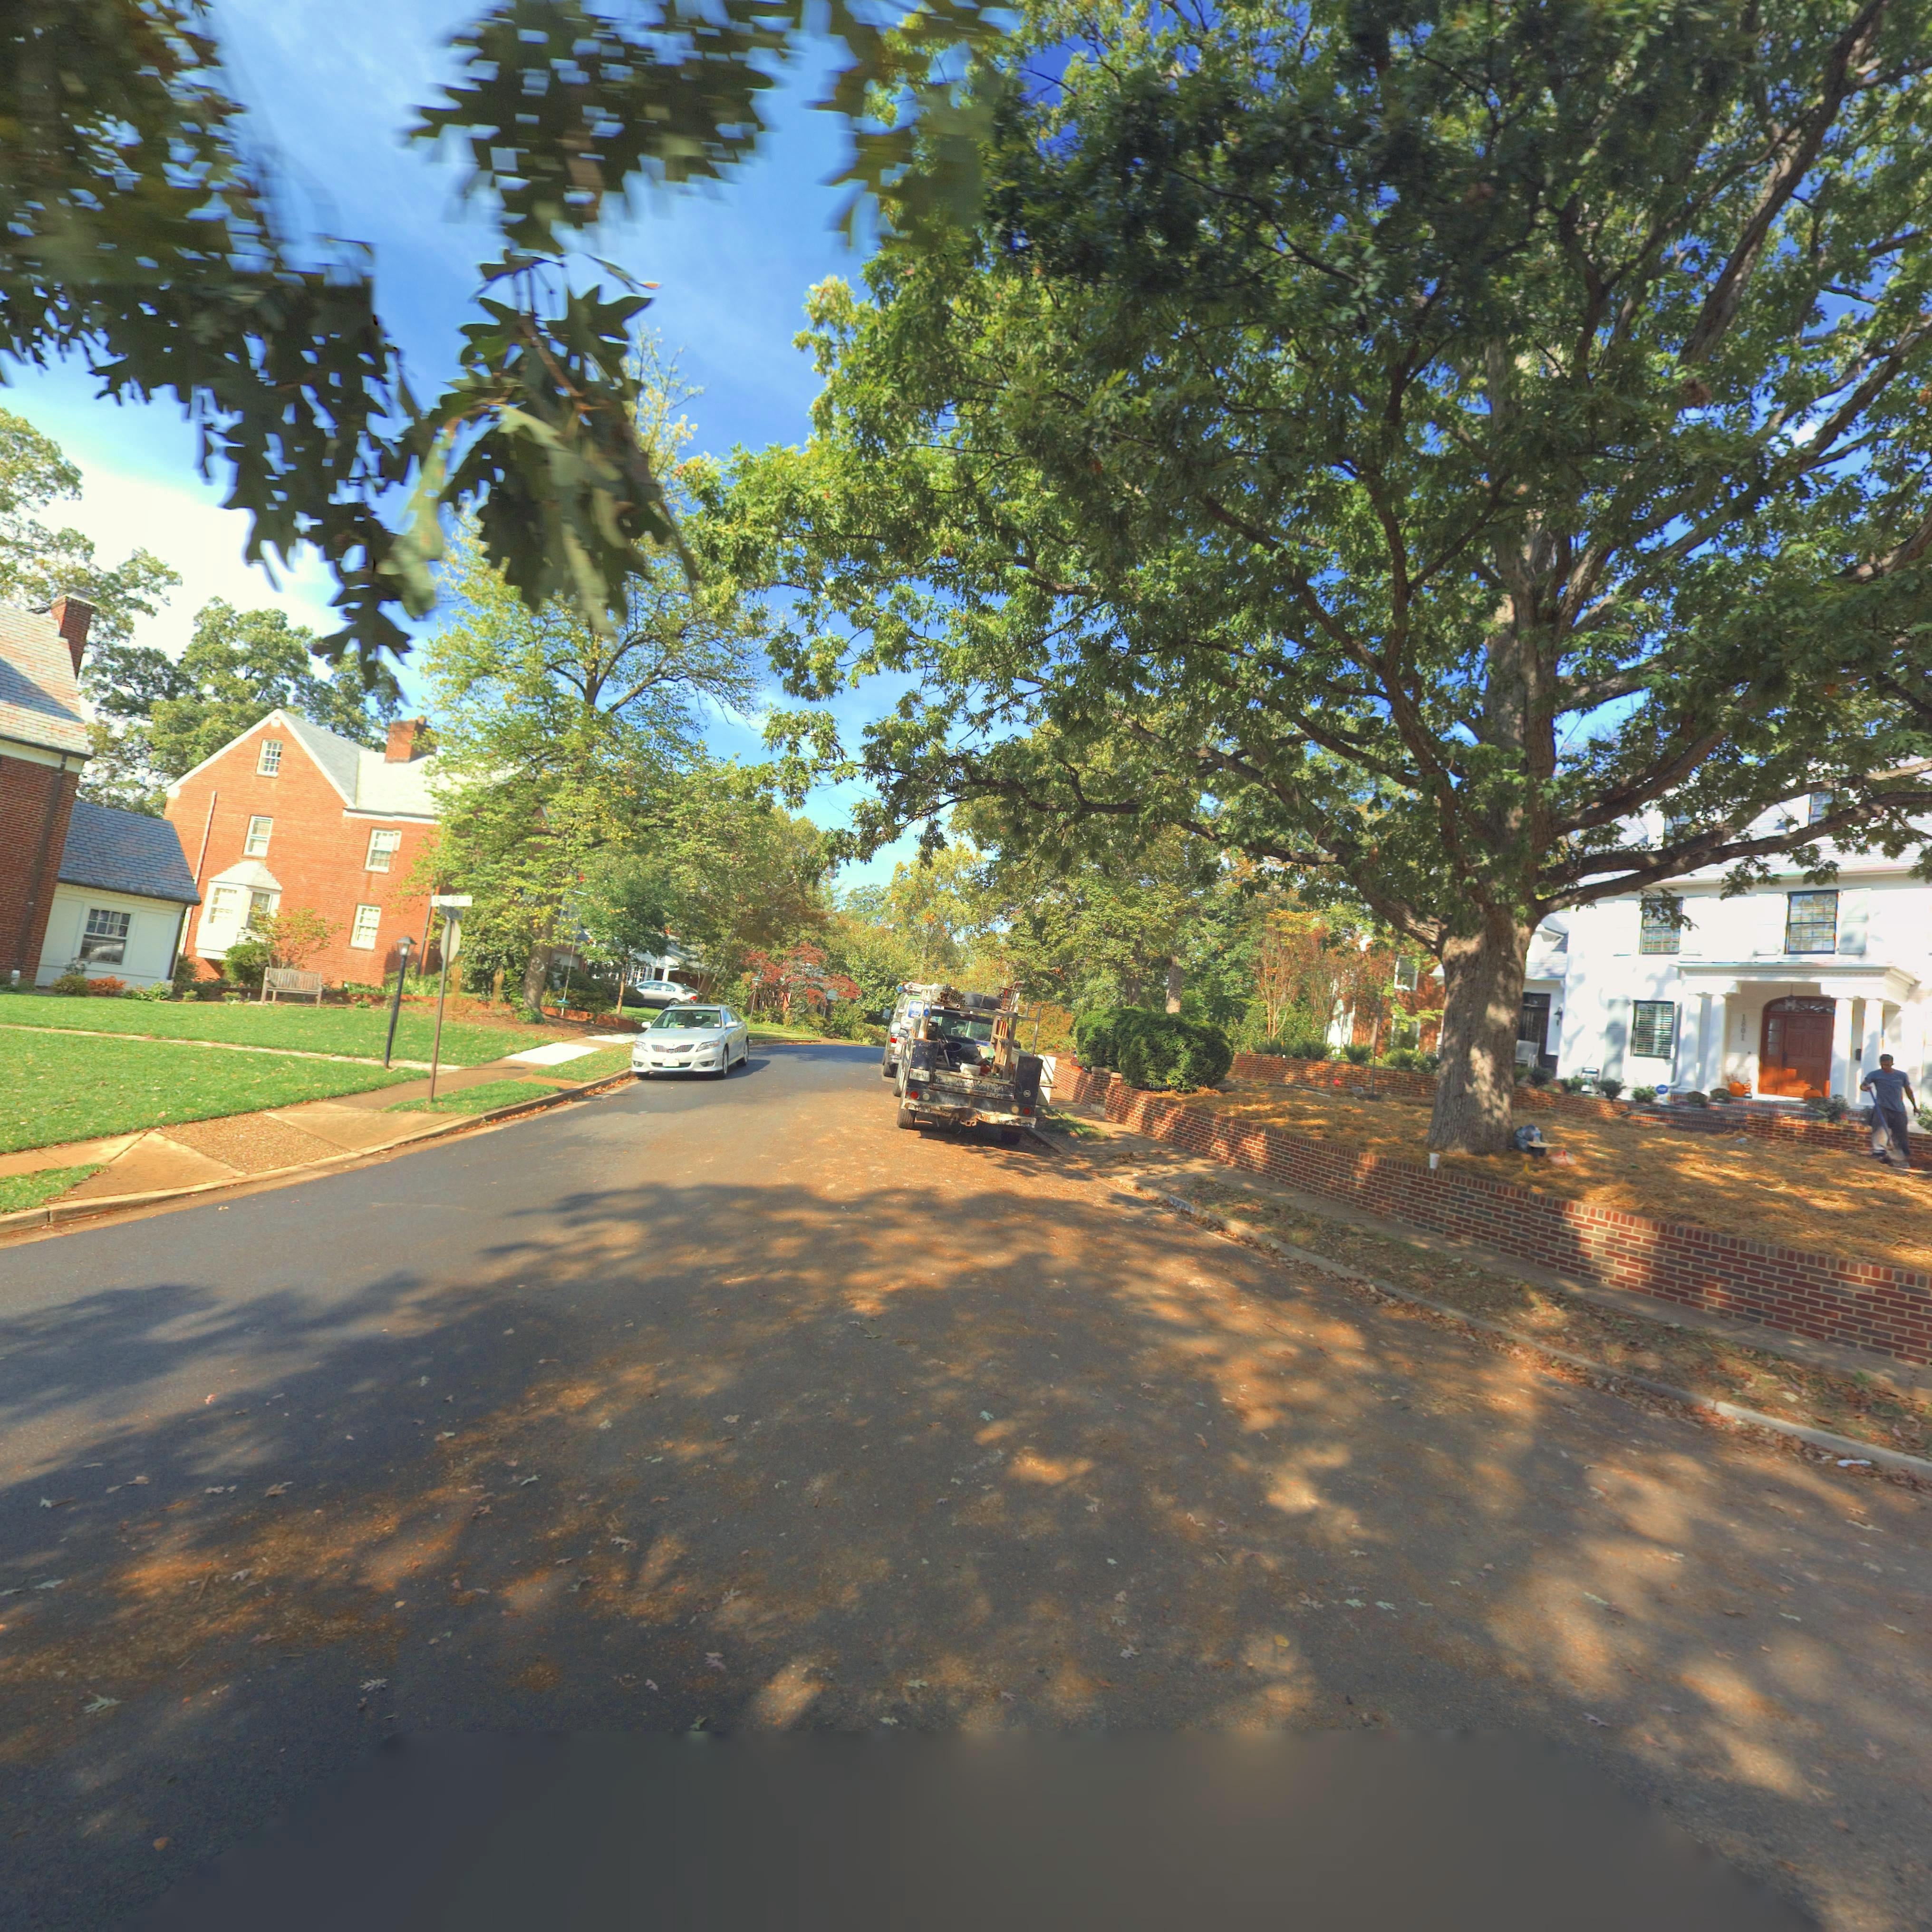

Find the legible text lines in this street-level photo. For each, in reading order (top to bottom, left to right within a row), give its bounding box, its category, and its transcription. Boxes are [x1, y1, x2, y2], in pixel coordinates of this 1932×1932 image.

[1739, 1012, 1748, 1042] StreetNumber: 1801